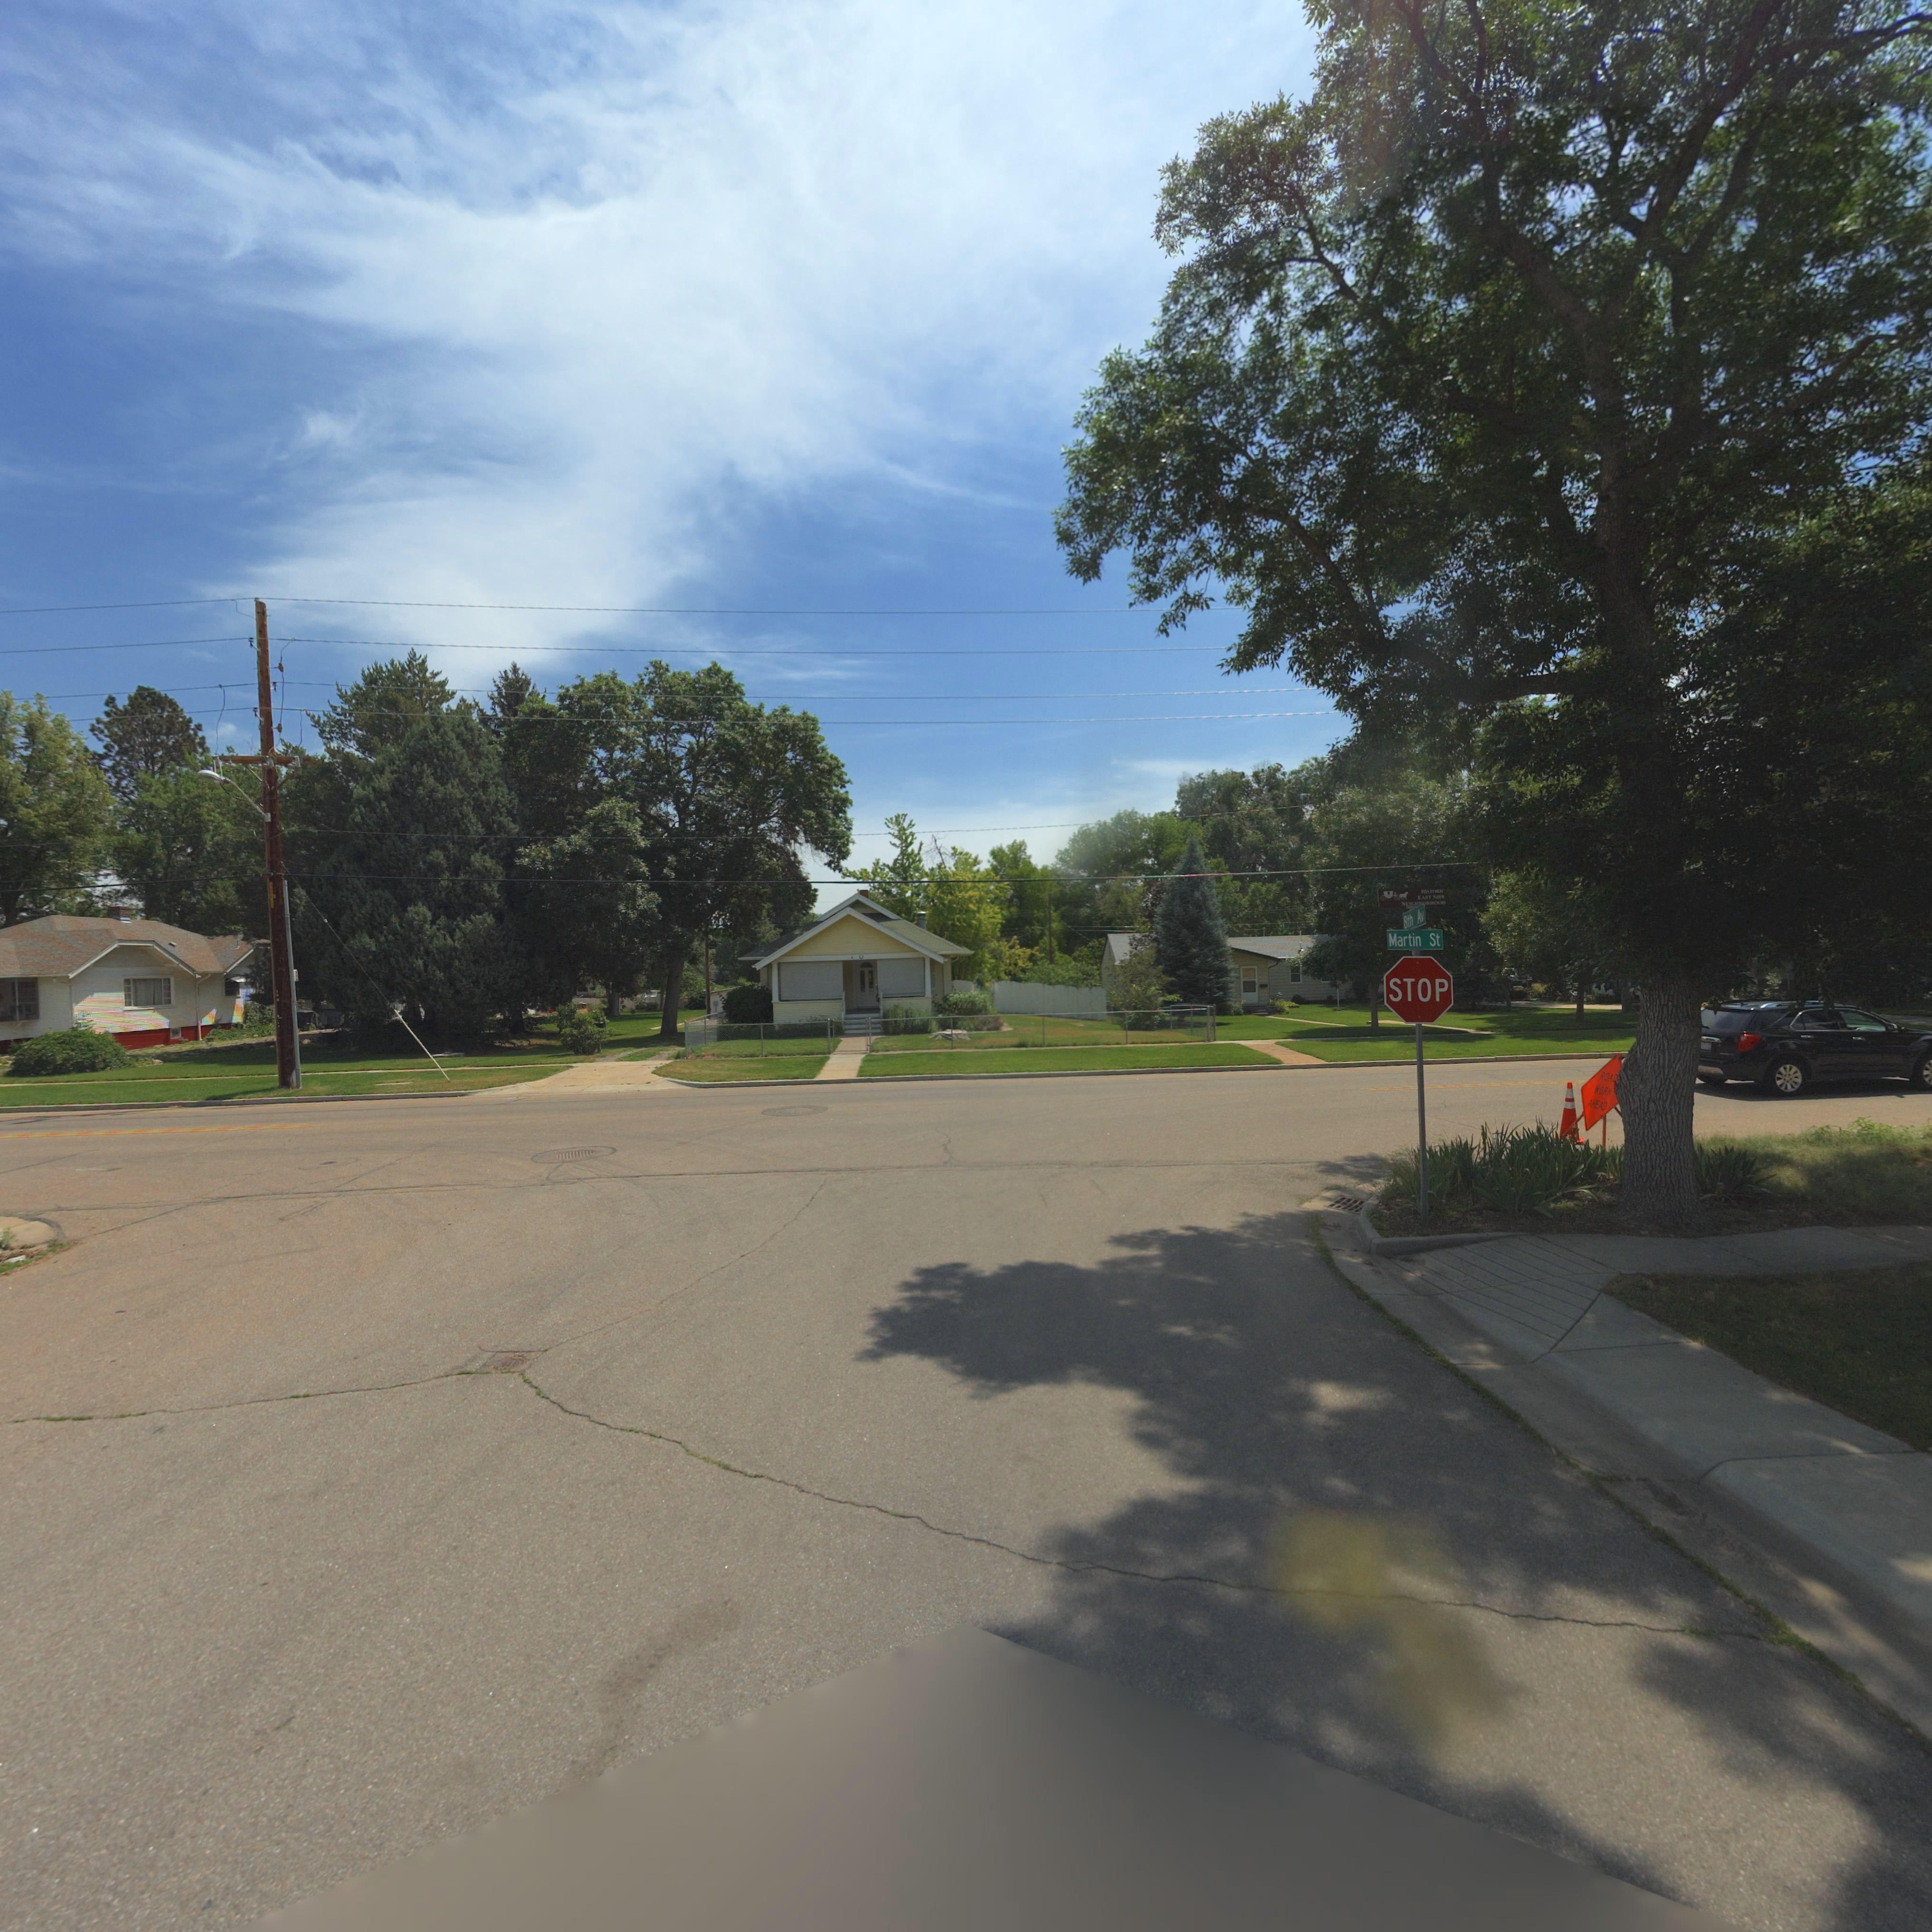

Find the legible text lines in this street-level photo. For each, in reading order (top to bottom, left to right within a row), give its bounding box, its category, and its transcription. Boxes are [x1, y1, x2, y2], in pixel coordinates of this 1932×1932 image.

[1402, 908, 1424, 929] StreetName: 8th Av
[1388, 932, 1441, 947] StreetName: Martin St
[859, 955, 864, 959] StreetNumber: 13